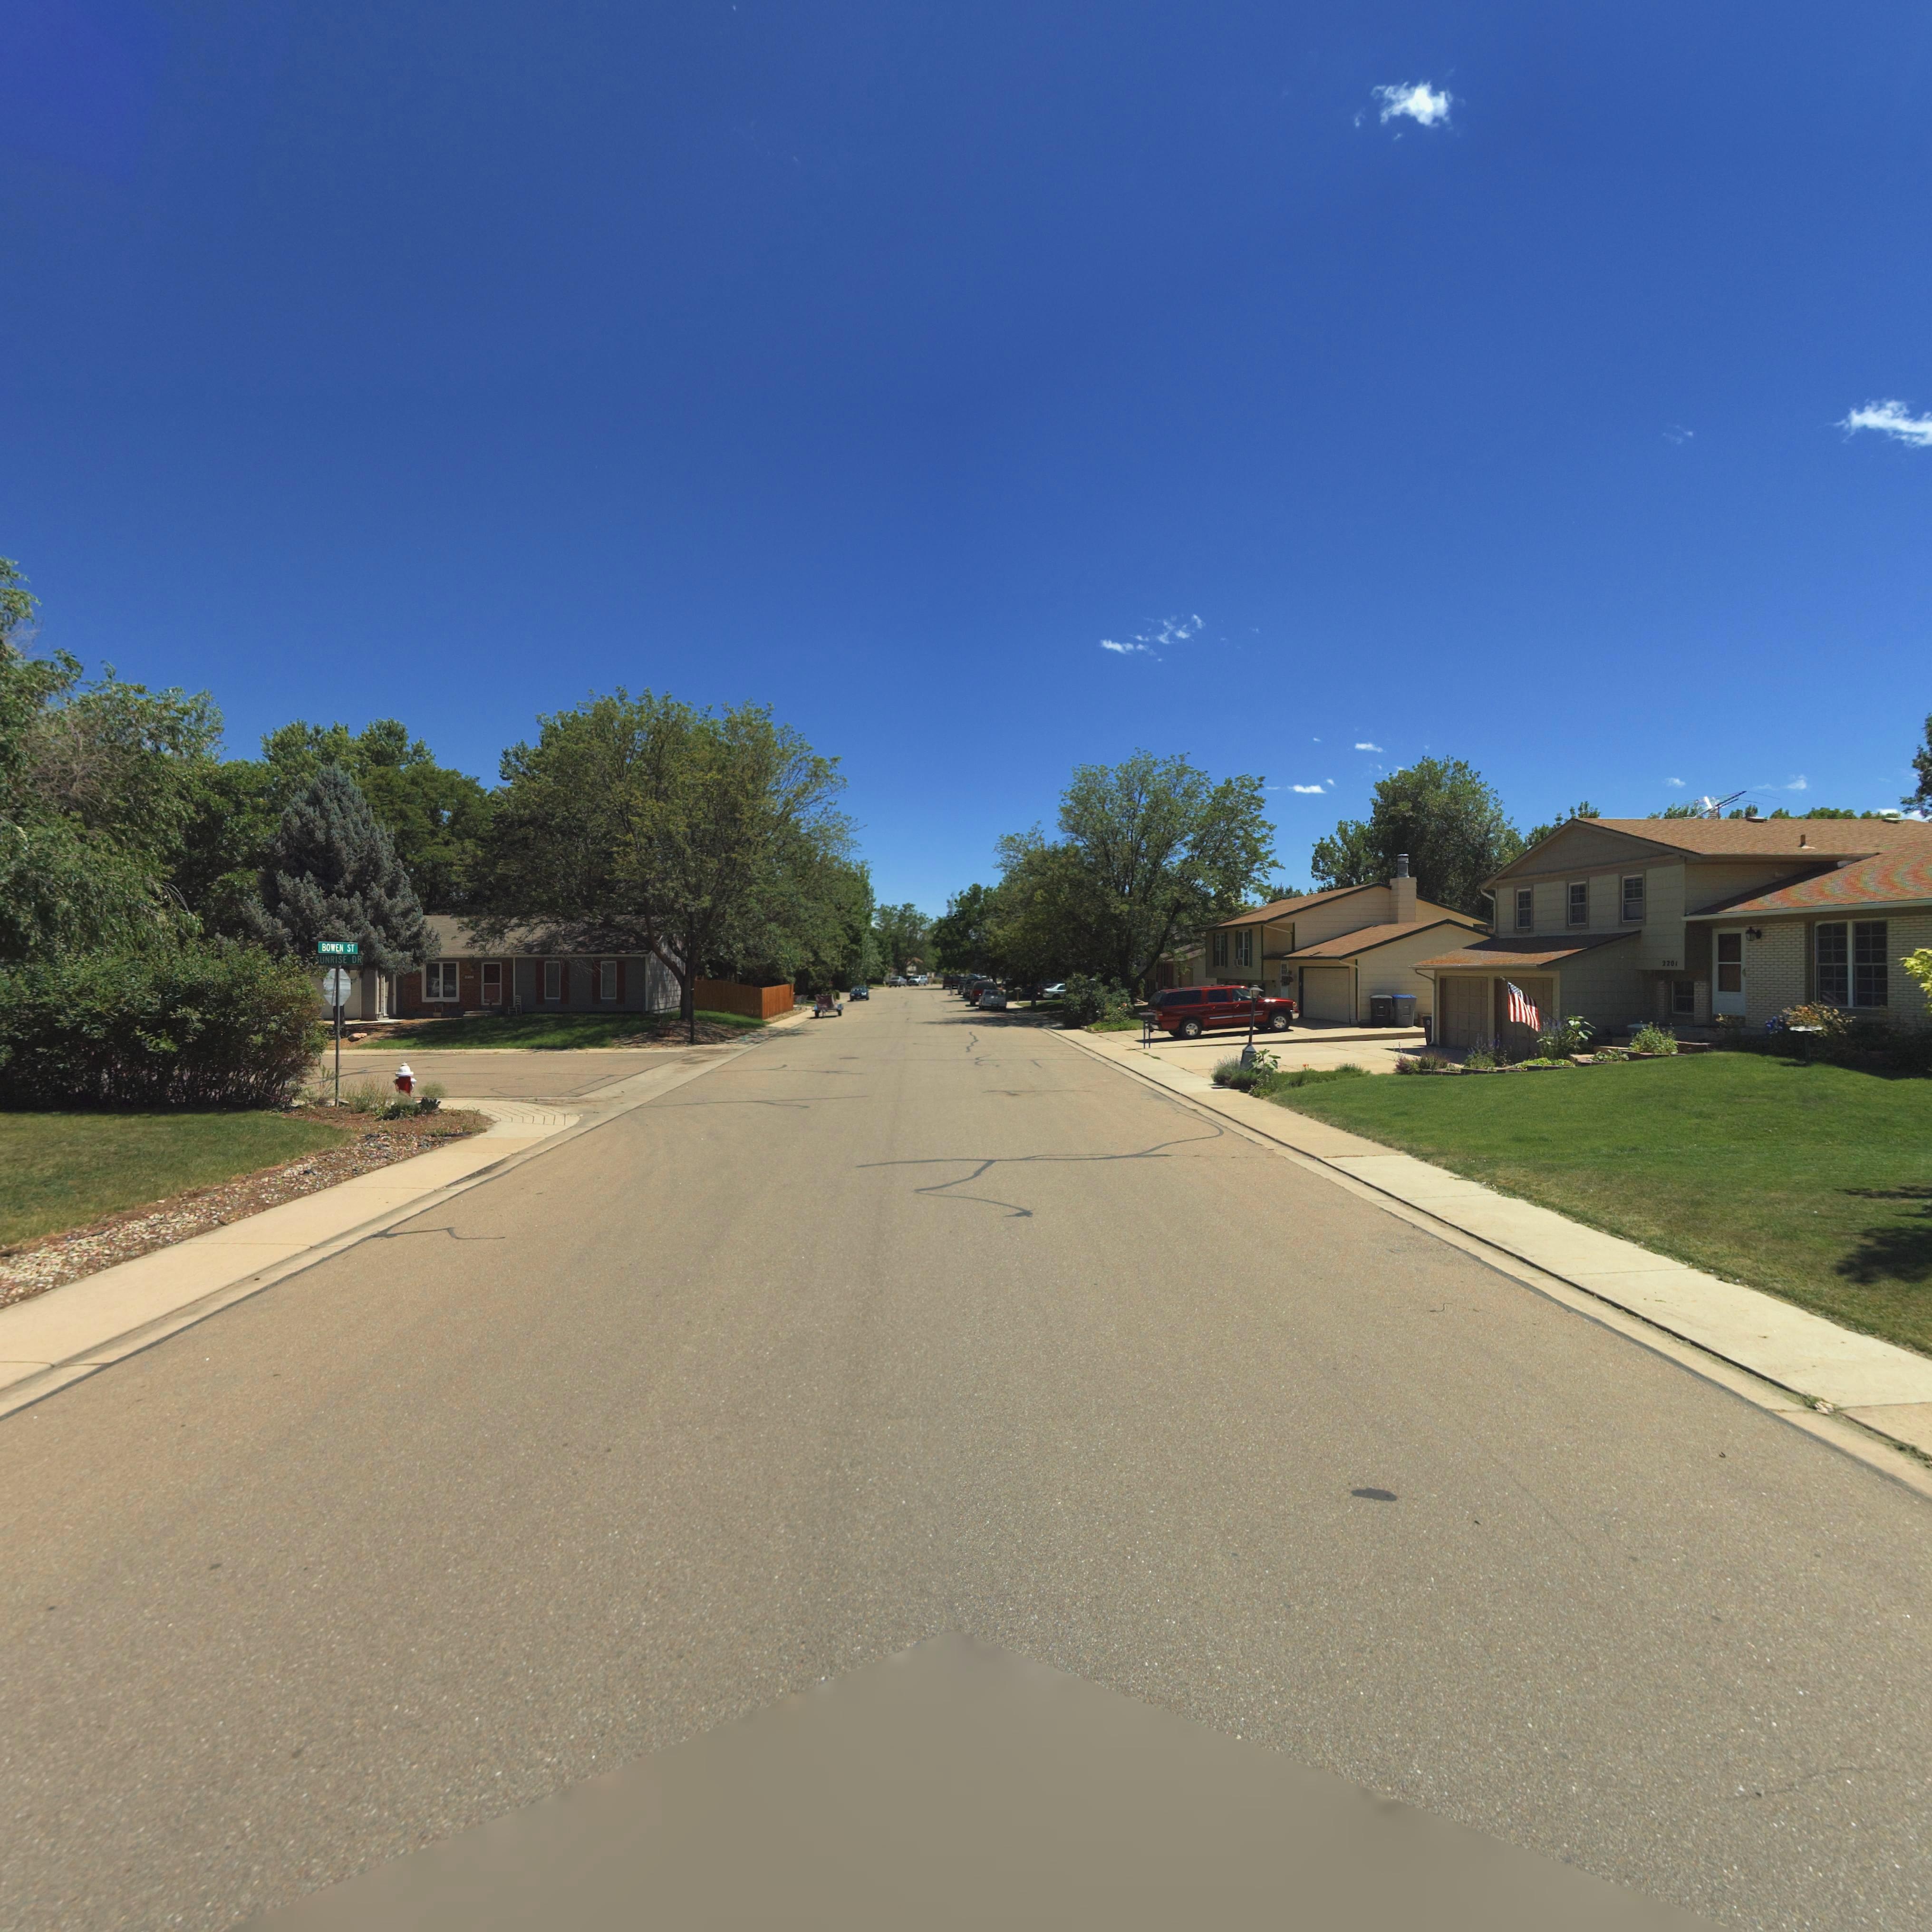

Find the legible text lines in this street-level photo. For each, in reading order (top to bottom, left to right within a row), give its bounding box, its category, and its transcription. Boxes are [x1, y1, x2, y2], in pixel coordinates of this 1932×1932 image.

[321, 943, 355, 952] StreetName: BOWEN ST
[314, 955, 363, 963] StreetName: SUNRISE DR
[1662, 959, 1678, 966] StreetNumber: 2201
[464, 975, 474, 978] StreetNumber: 1200